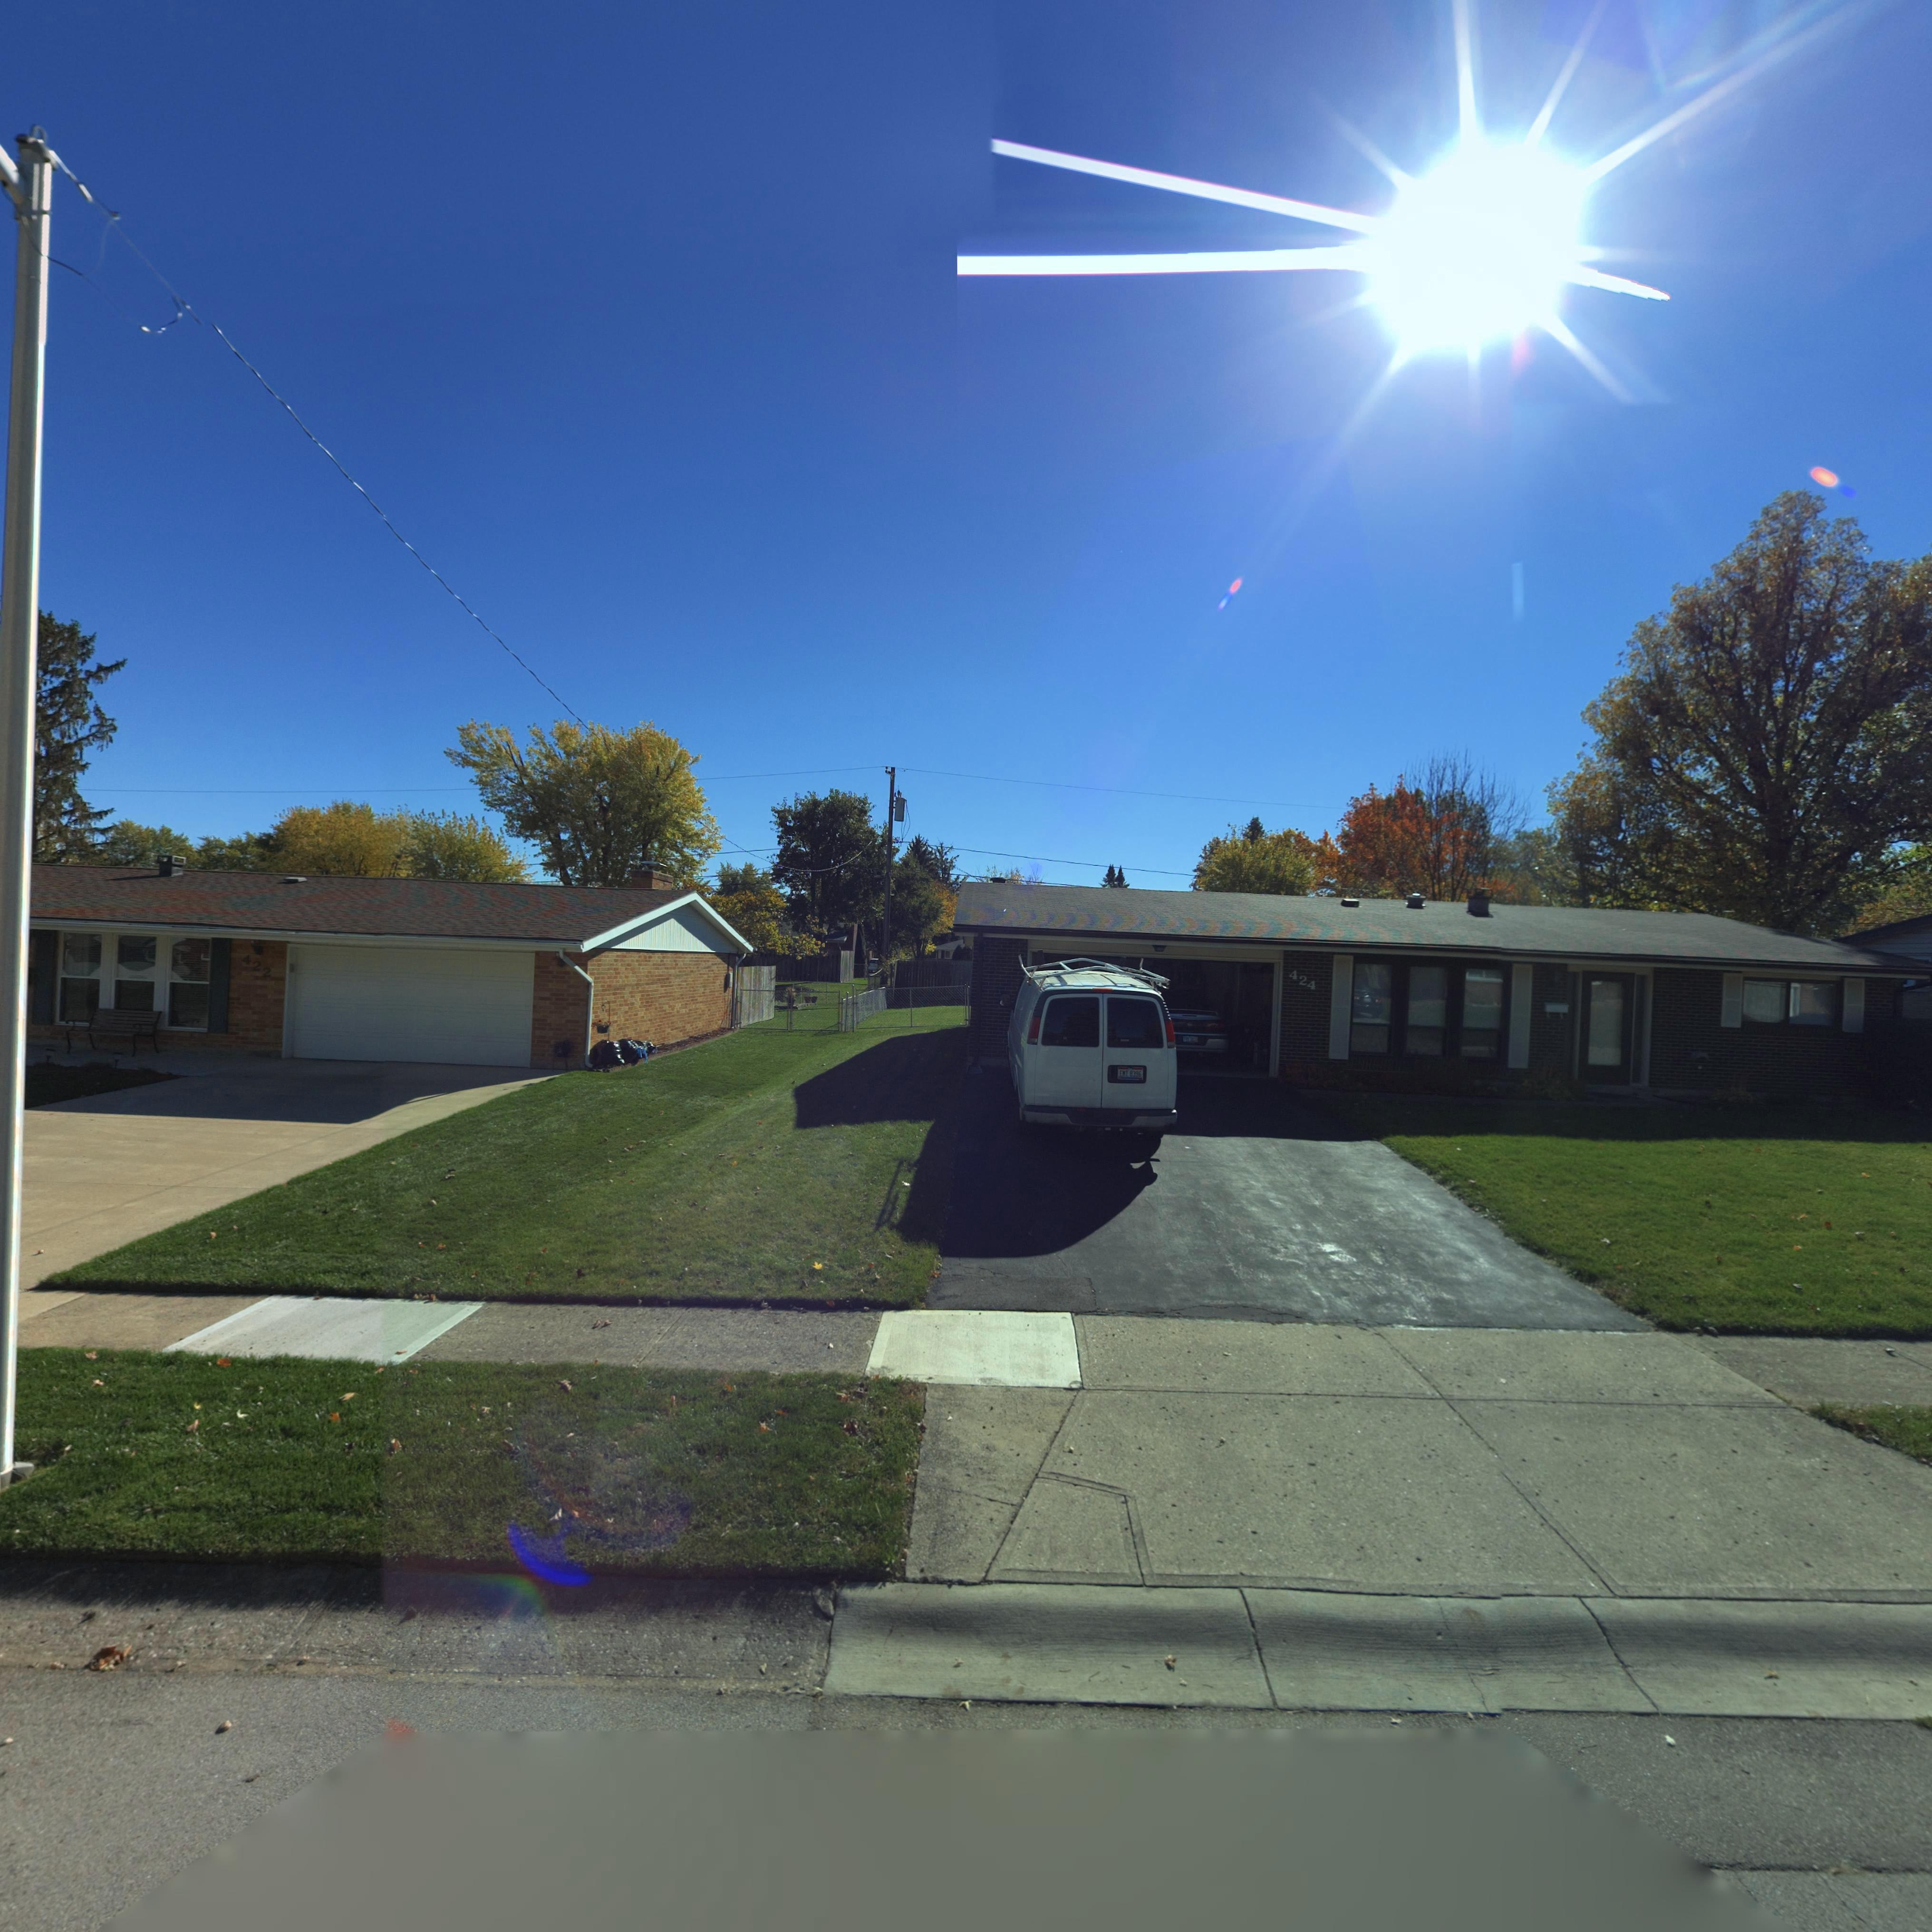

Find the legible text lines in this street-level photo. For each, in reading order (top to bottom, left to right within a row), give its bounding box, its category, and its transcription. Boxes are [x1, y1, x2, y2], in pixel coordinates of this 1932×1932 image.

[241, 954, 272, 978] StreetNumber: 422
[1287, 969, 1317, 991] StreetNumber: 424
[1119, 1070, 1142, 1078] None: ENT*8396